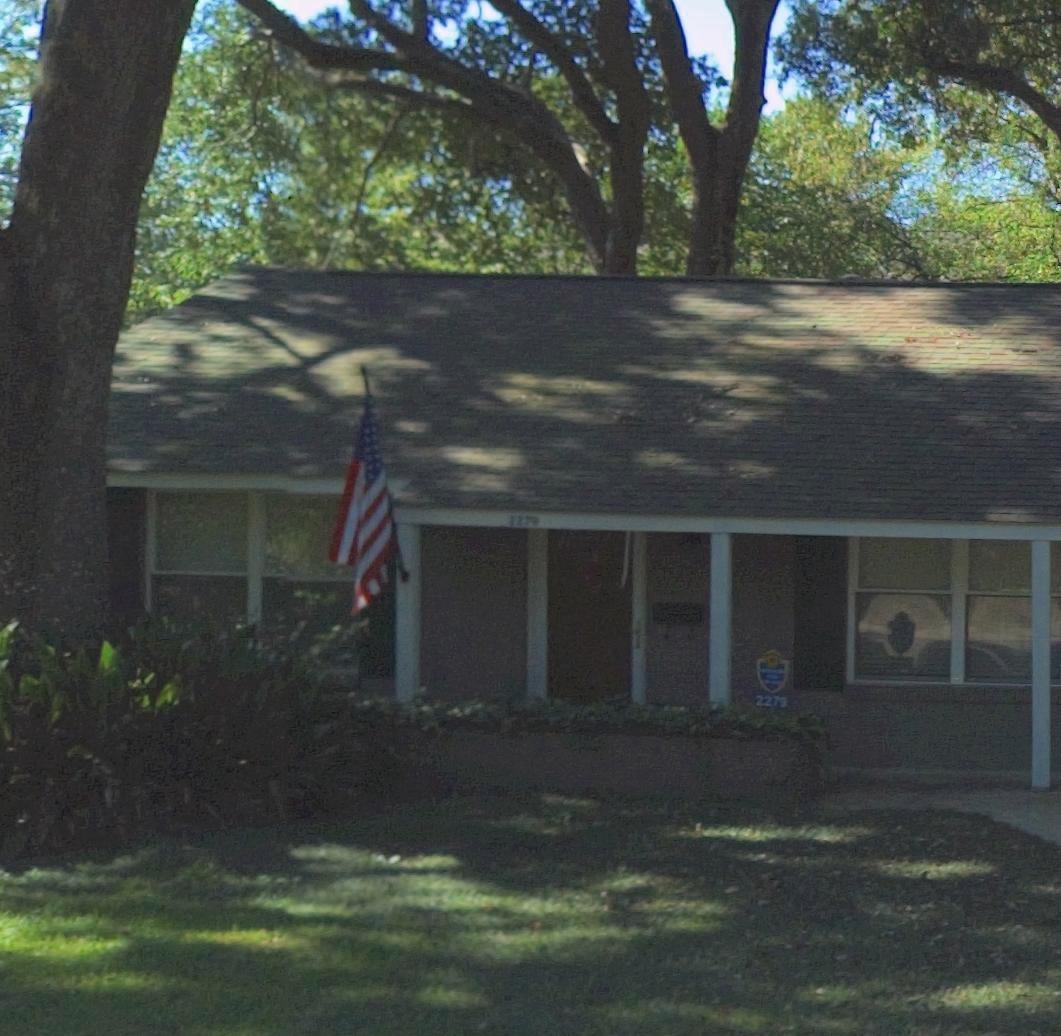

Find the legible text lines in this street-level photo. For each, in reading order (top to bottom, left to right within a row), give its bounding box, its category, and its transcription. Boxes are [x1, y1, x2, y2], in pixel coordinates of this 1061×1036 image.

[754, 692, 788, 711] StreetNumber: 2279